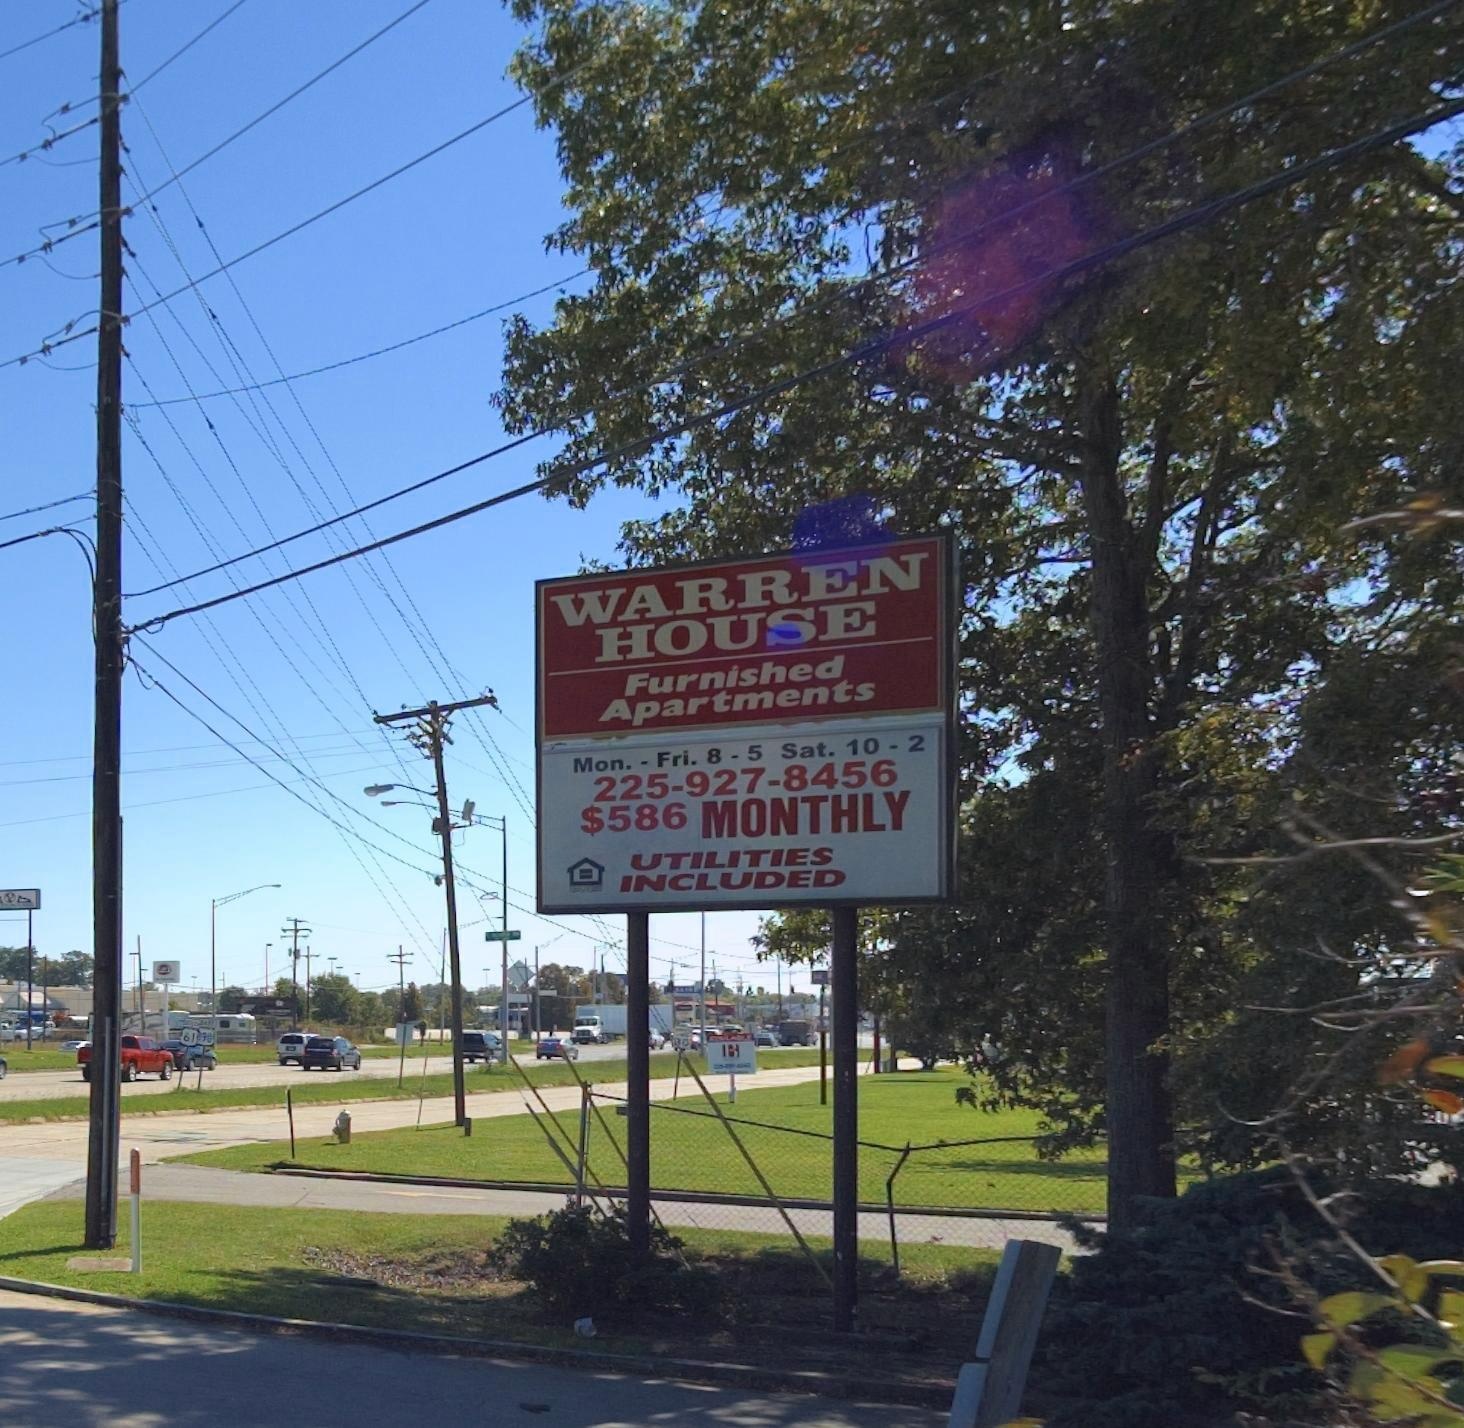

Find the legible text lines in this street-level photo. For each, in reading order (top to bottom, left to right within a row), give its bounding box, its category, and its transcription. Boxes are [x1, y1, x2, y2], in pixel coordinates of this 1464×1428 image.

[542, 547, 934, 632] BusinessName: WARREN
[590, 594, 882, 666] BusinessName: HOUSE
[620, 650, 850, 700] None: Furnished
[593, 676, 879, 729] None: Apartments
[570, 730, 929, 777] None: Mon. - Fri. 8-5 Sat. 10-2
[590, 755, 902, 805] None: 225-927-8456
[604, 787, 915, 842] None: 586 MONTHLY
[626, 844, 838, 875] None: UTILITIES
[615, 865, 851, 895] None: INCLUDED
[179, 1029, 198, 1047] None: 61
[200, 1030, 215, 1046] None: 90
[671, 1035, 692, 1049] None: 30
[721, 1042, 741, 1059] None: B